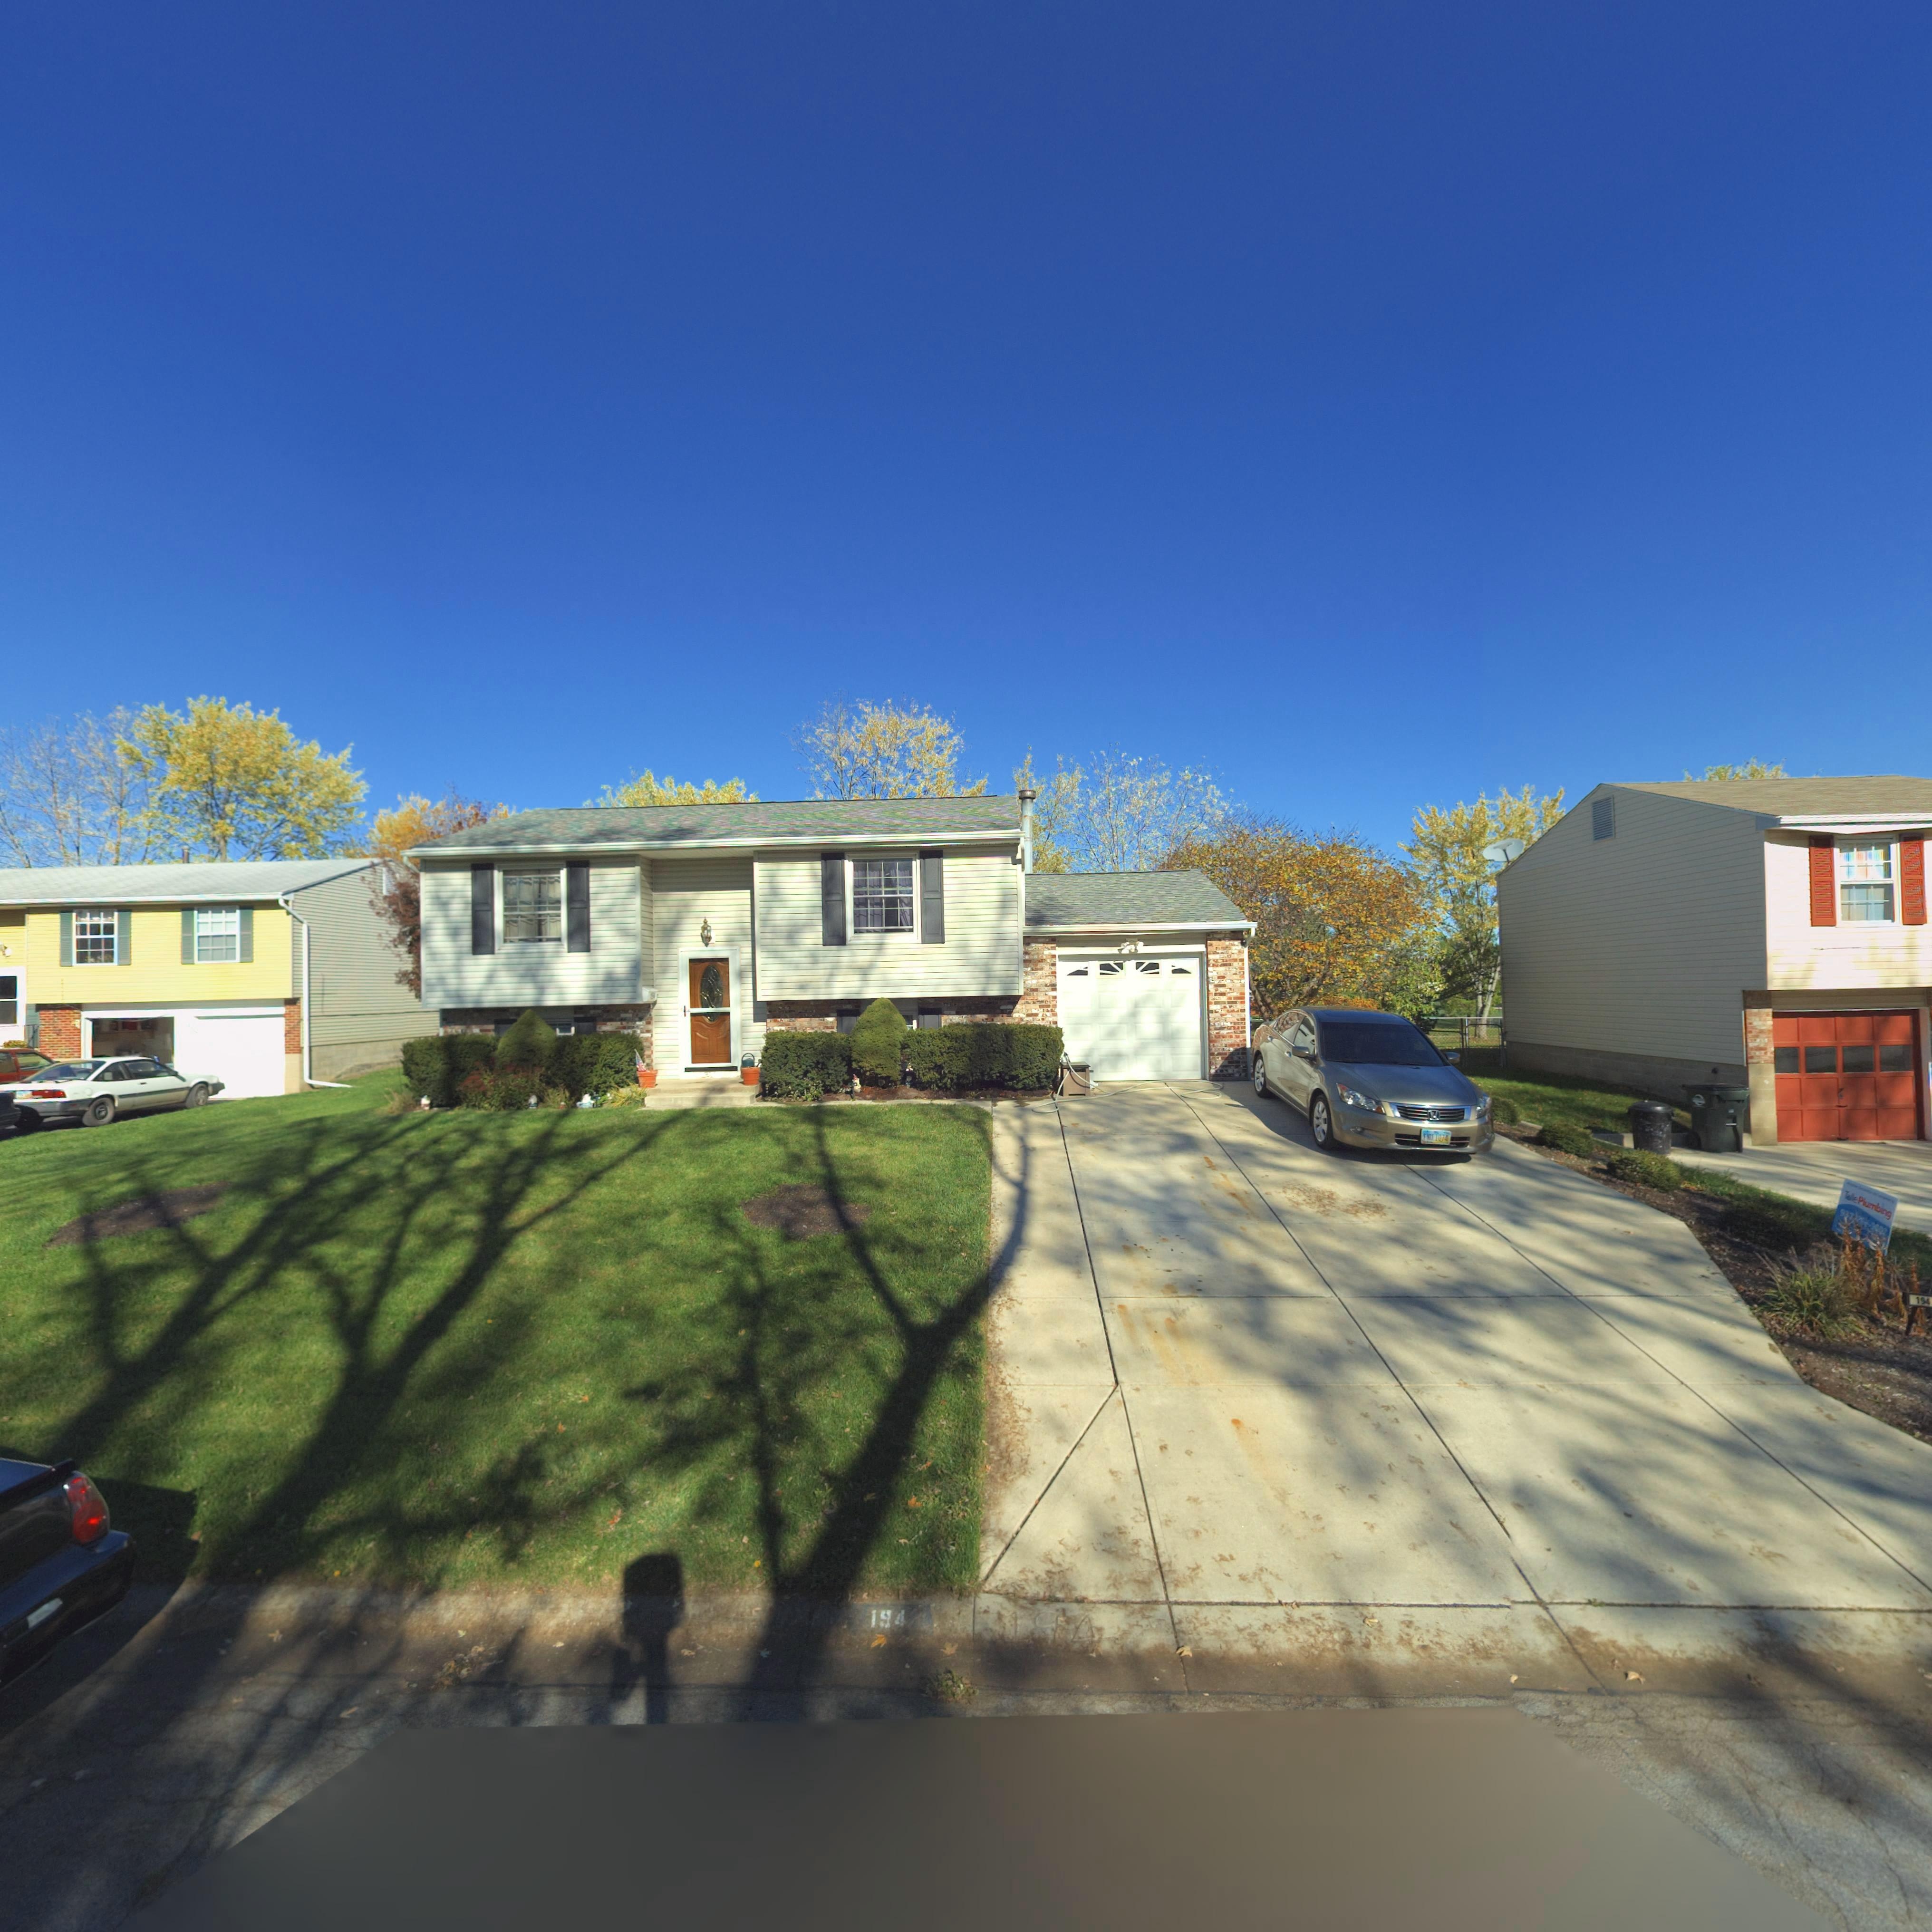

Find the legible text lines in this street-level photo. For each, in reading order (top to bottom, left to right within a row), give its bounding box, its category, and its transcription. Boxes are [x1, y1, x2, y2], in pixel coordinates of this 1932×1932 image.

[1914, 1295, 1931, 1306] StreetNumber: 19*